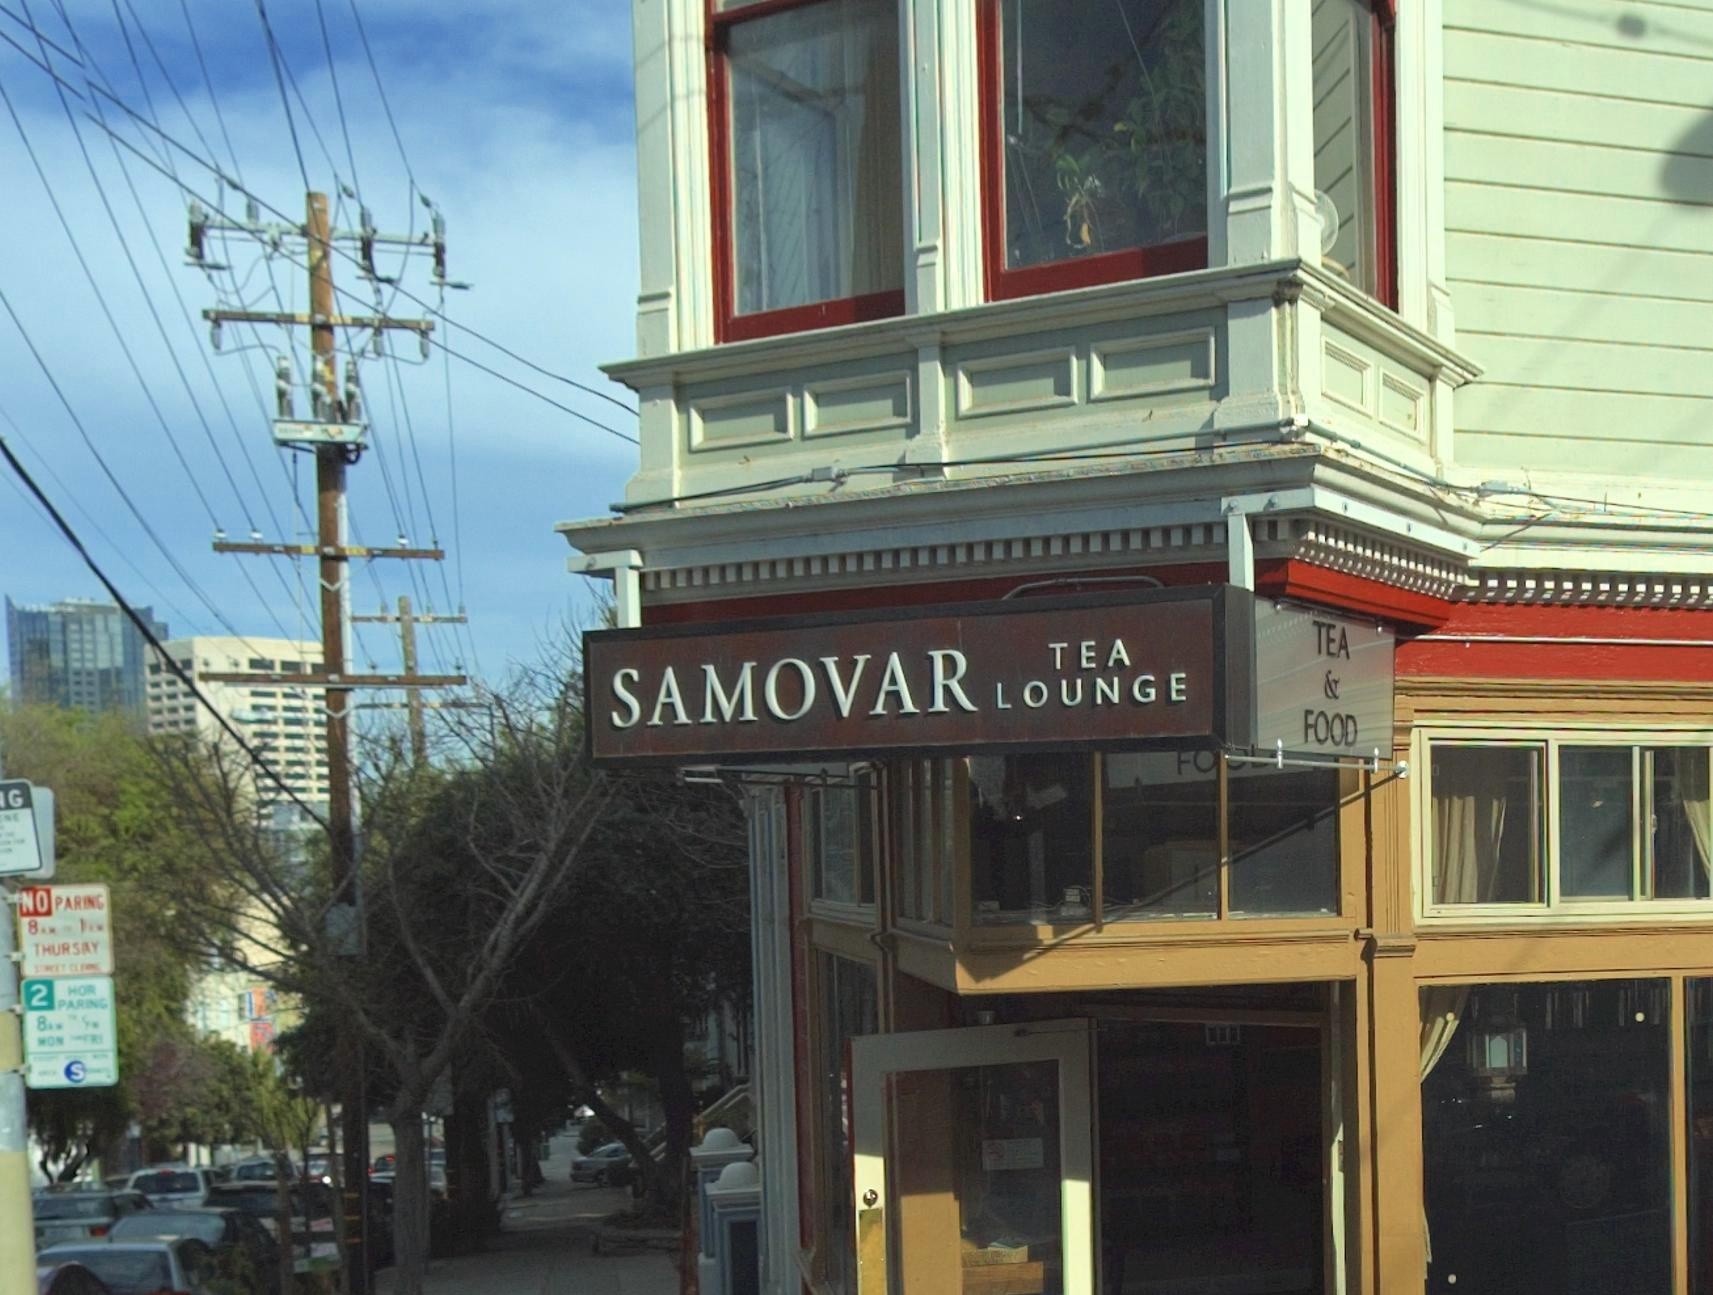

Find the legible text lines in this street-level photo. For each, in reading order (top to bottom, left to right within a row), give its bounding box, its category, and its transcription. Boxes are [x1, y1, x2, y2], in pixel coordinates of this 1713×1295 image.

[1043, 635, 1136, 672] BusinessName: TEA
[1310, 615, 1355, 665] None: TEA
[608, 642, 982, 734] BusinessName: SAMOVAR
[992, 668, 1190, 714] BusinessName: LOUNGE
[1300, 704, 1360, 751] None: FOOD
[4, 785, 28, 810] None: G
[18, 886, 109, 917] None: NO PARKING
[26, 914, 41, 939] None: 8
[29, 937, 104, 961] None: THURS**Y
[27, 980, 51, 1009] None: 2
[34, 1012, 49, 1034] None: 8
[67, 1060, 87, 1082] None: S